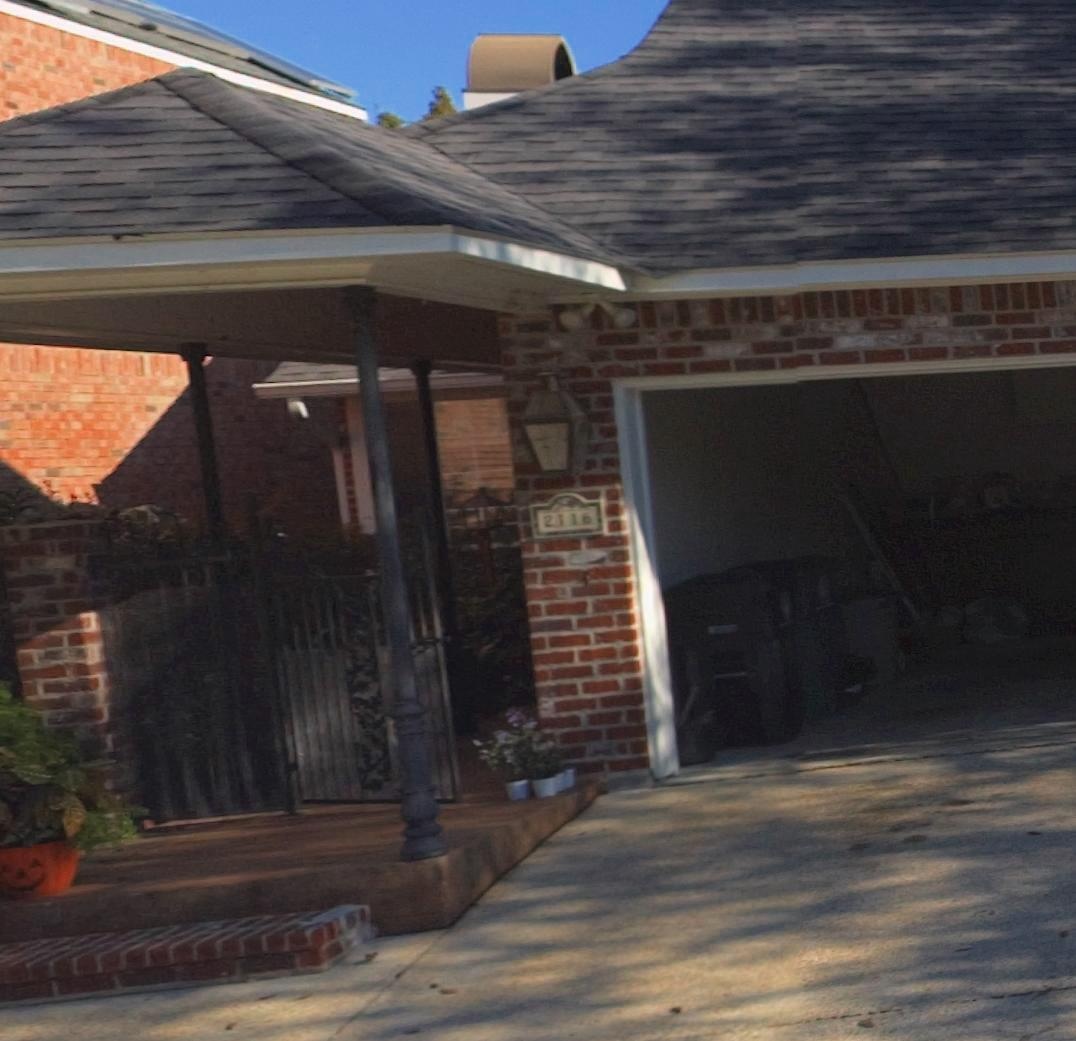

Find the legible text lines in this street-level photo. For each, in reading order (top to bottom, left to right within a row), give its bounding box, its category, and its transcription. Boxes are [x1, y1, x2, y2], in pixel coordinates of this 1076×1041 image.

[540, 509, 594, 531] StreetNumber: 2116